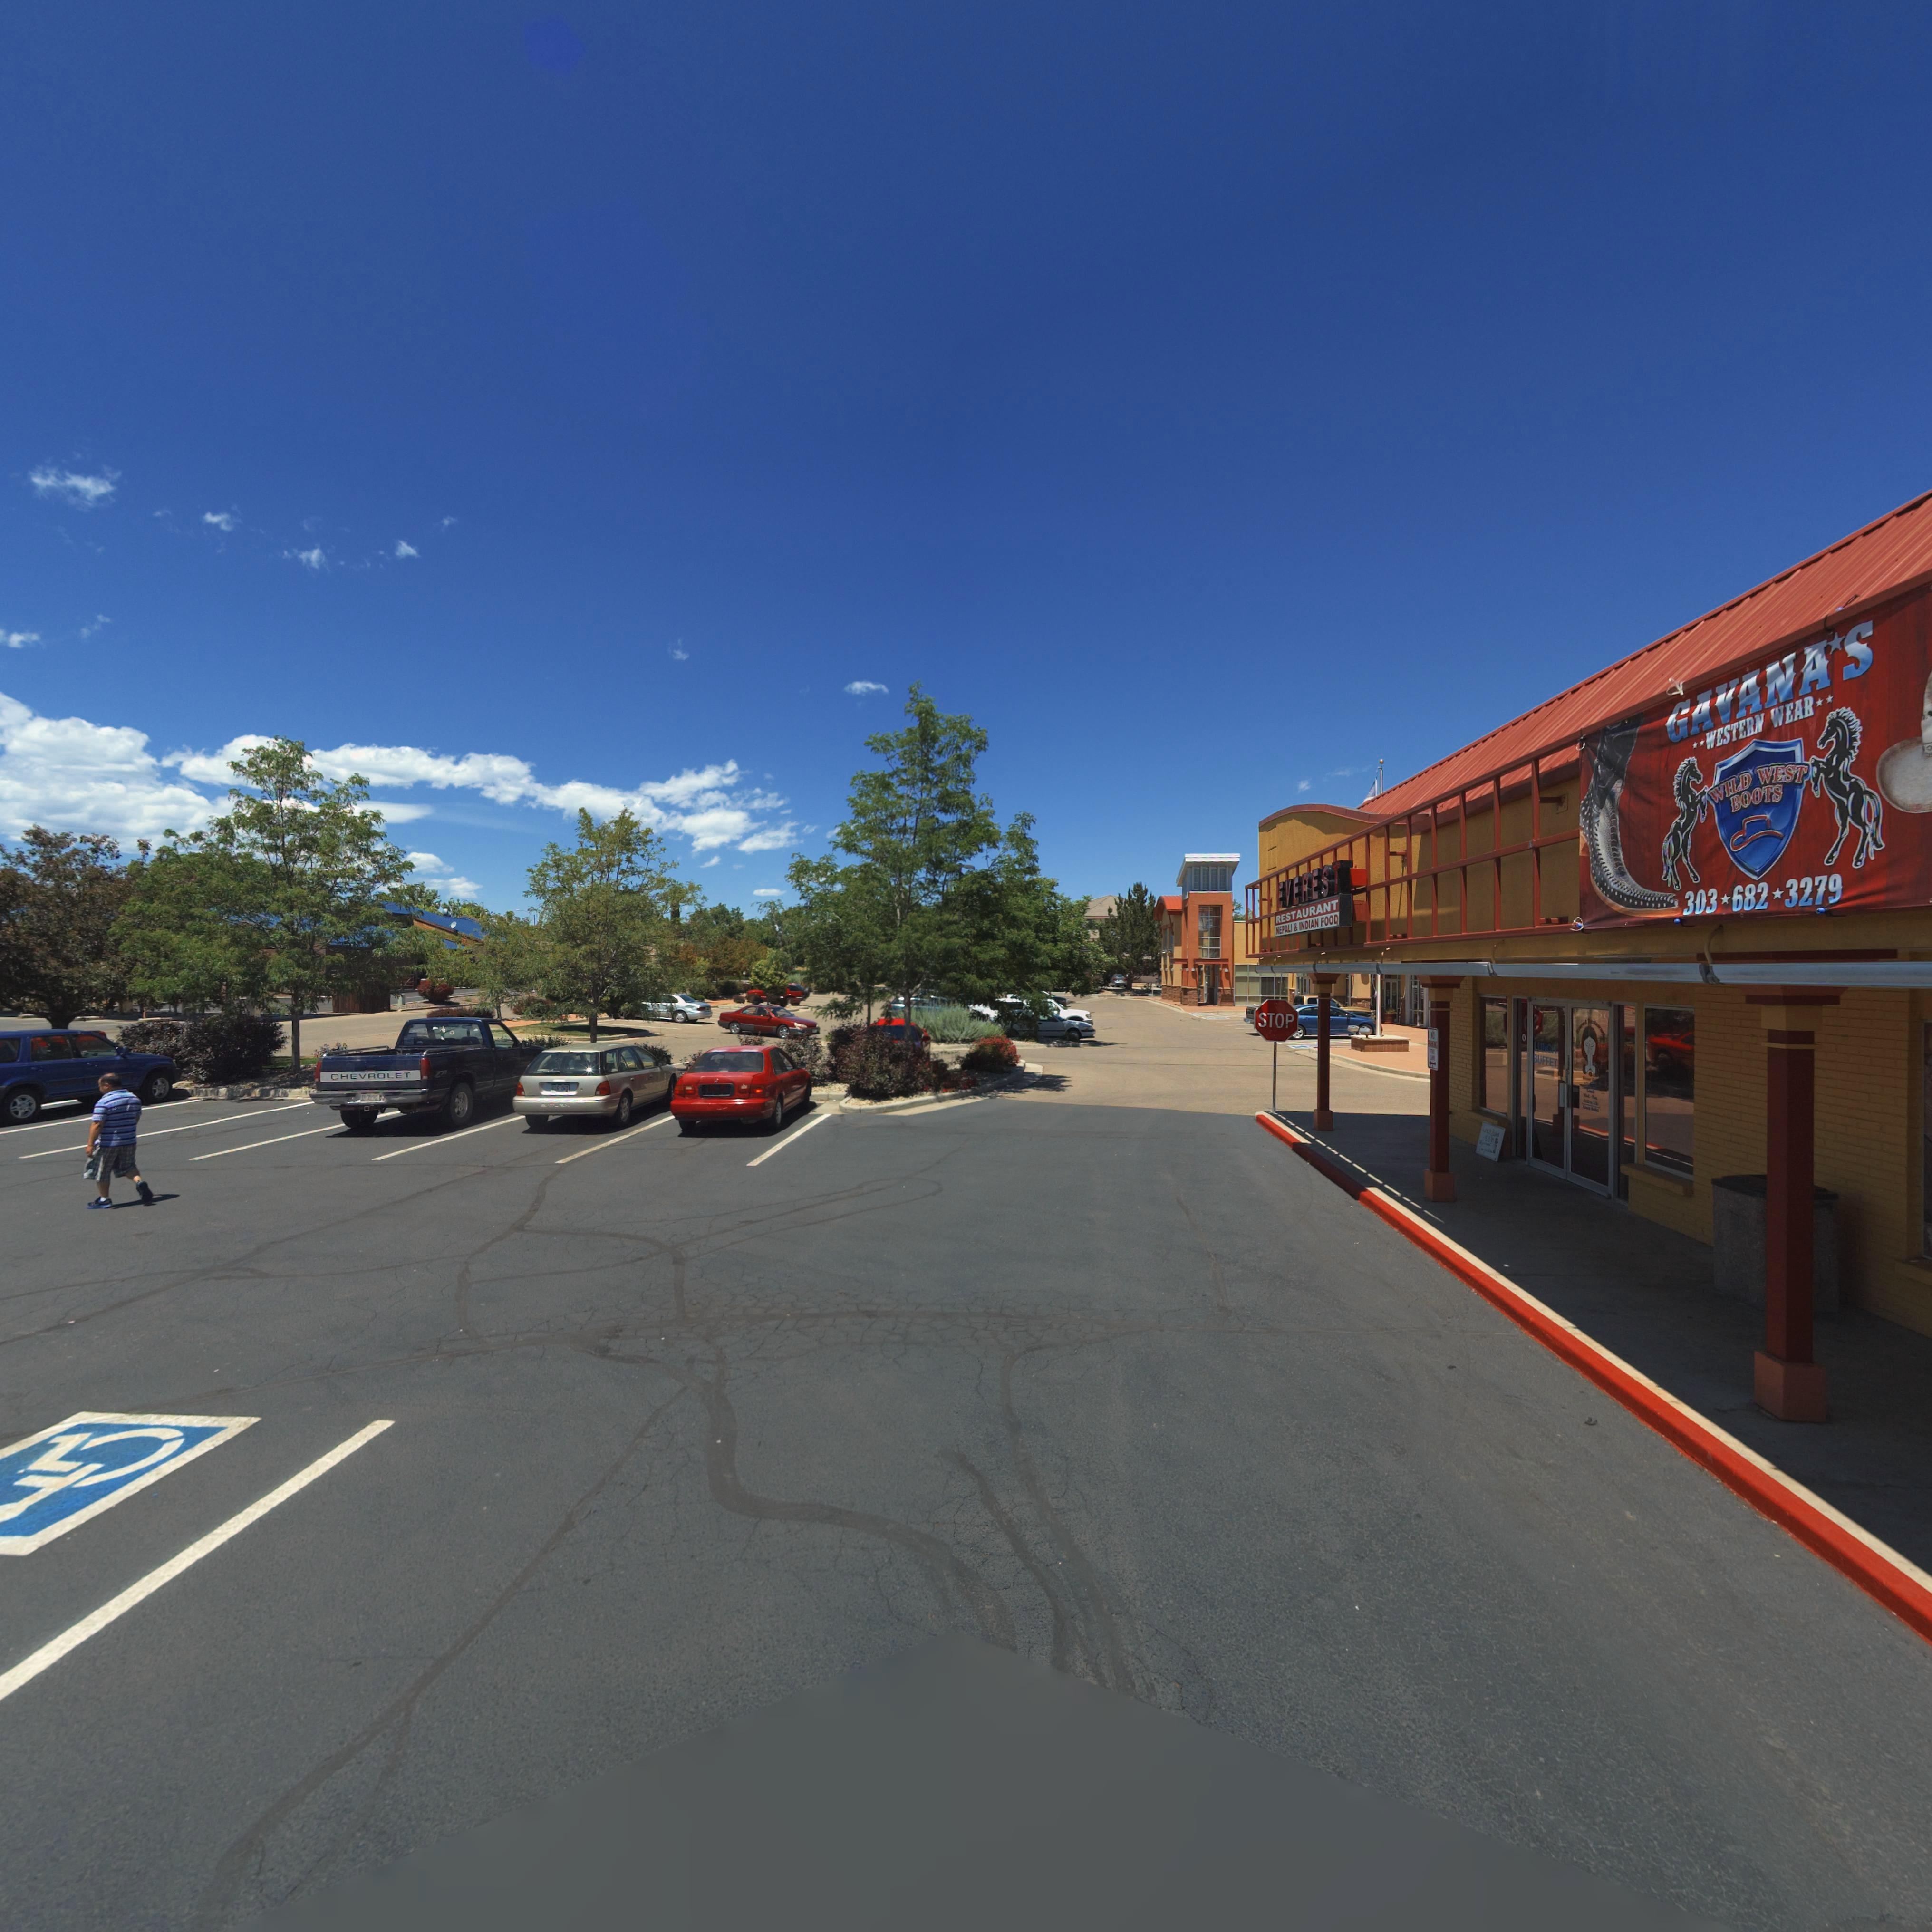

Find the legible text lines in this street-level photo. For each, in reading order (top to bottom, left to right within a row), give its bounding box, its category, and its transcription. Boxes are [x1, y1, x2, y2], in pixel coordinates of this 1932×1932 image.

[1663, 617, 1877, 745] BusinessName: GAVANA*S
[1705, 694, 1816, 751] BusinessName: WESTERN WEAR
[1275, 898, 1338, 924] BusinessName: RESTAURANT
[1277, 858, 1343, 909] BusinessName: EVEREST